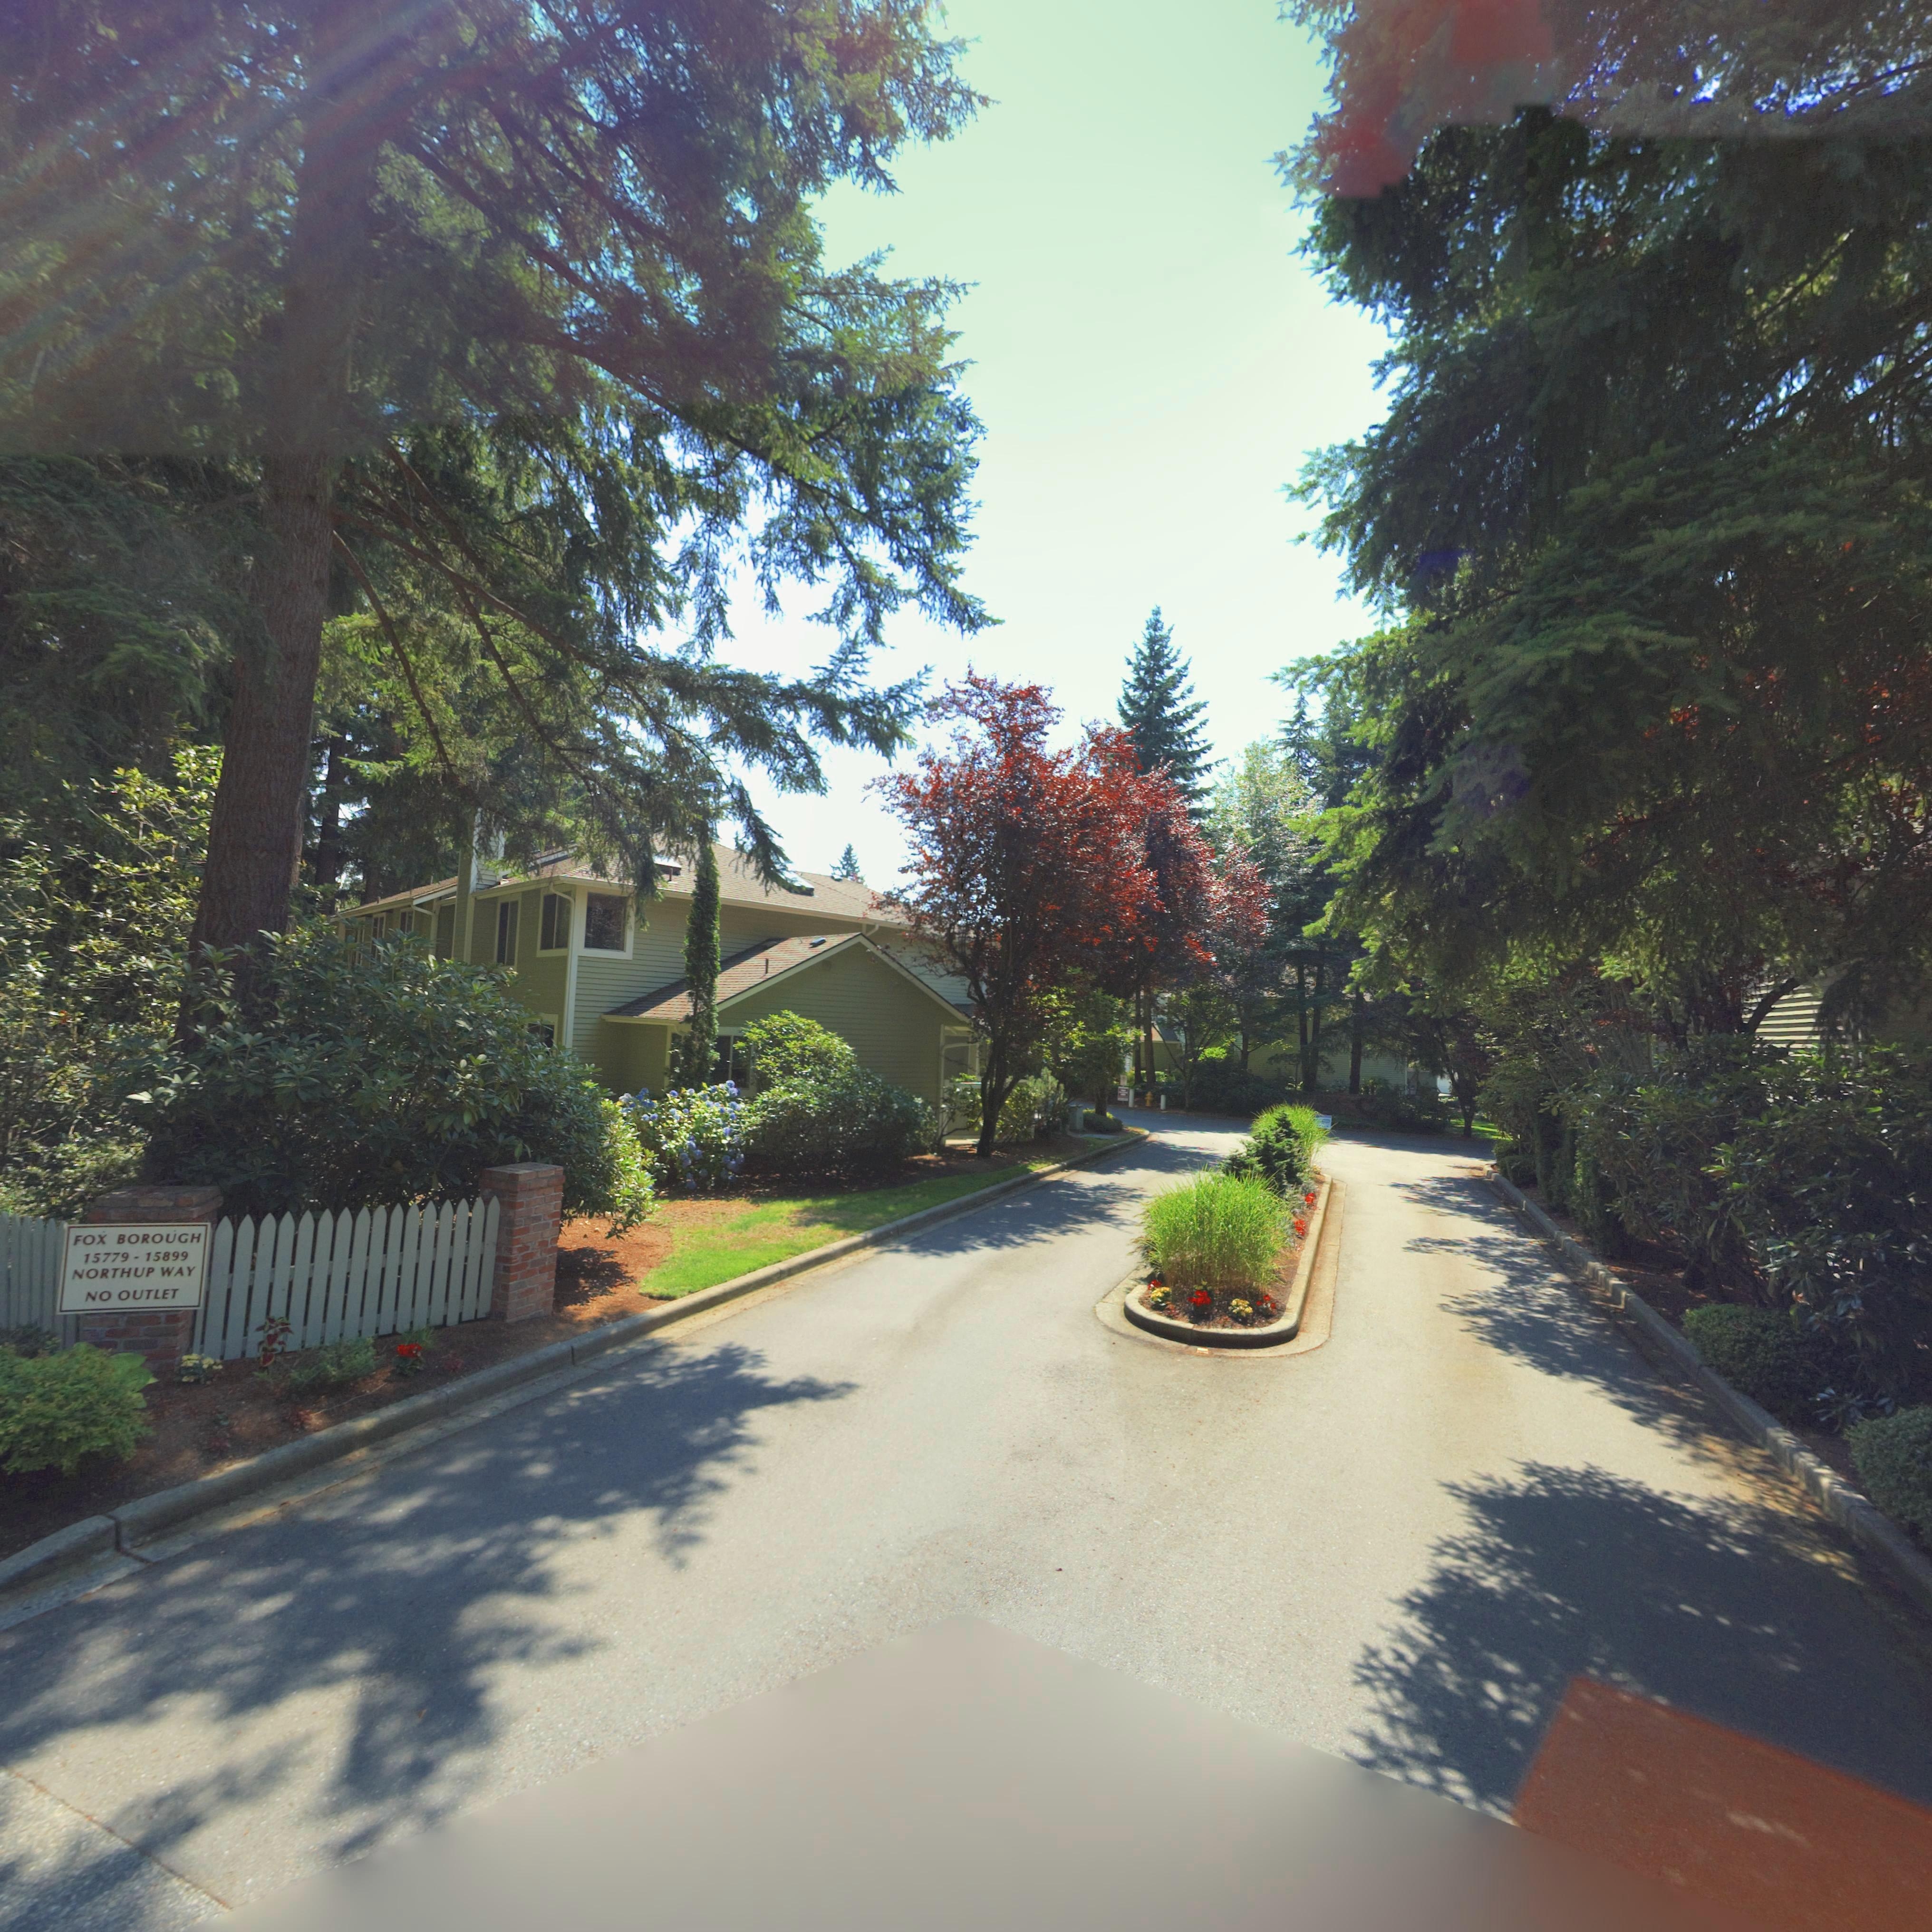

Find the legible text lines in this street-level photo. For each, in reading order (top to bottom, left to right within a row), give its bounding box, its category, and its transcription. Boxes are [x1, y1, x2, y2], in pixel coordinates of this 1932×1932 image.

[83, 1250, 189, 1263] StreetNumber: 15779-15899
[69, 1265, 199, 1280] StreetName: NORTHUP WAY